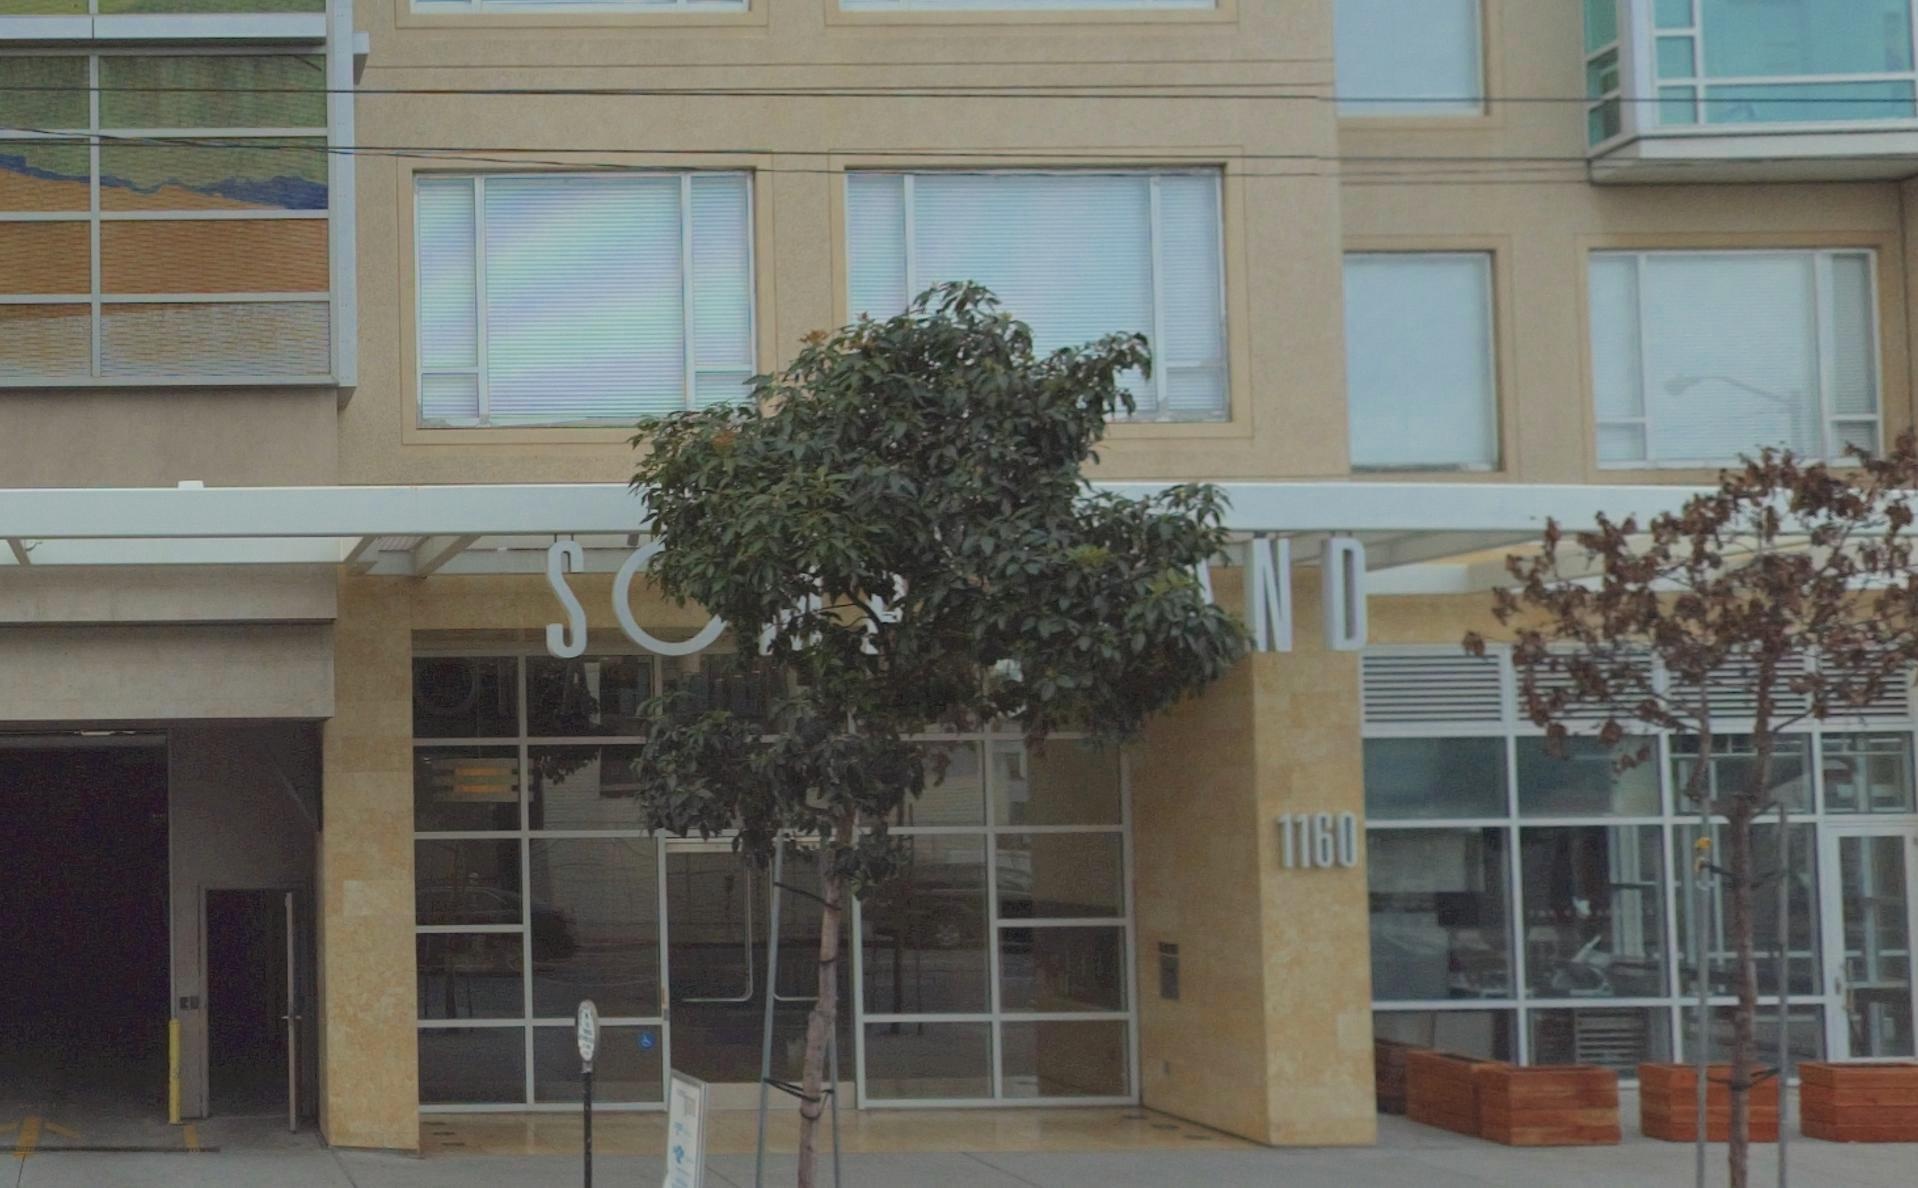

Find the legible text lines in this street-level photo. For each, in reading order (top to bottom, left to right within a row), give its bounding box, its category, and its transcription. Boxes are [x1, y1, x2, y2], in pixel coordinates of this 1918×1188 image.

[542, 537, 592, 663] BusinessName: S
[1234, 528, 1381, 658] BusinessName: ND
[1272, 807, 1362, 872] StreetNumber: 1160